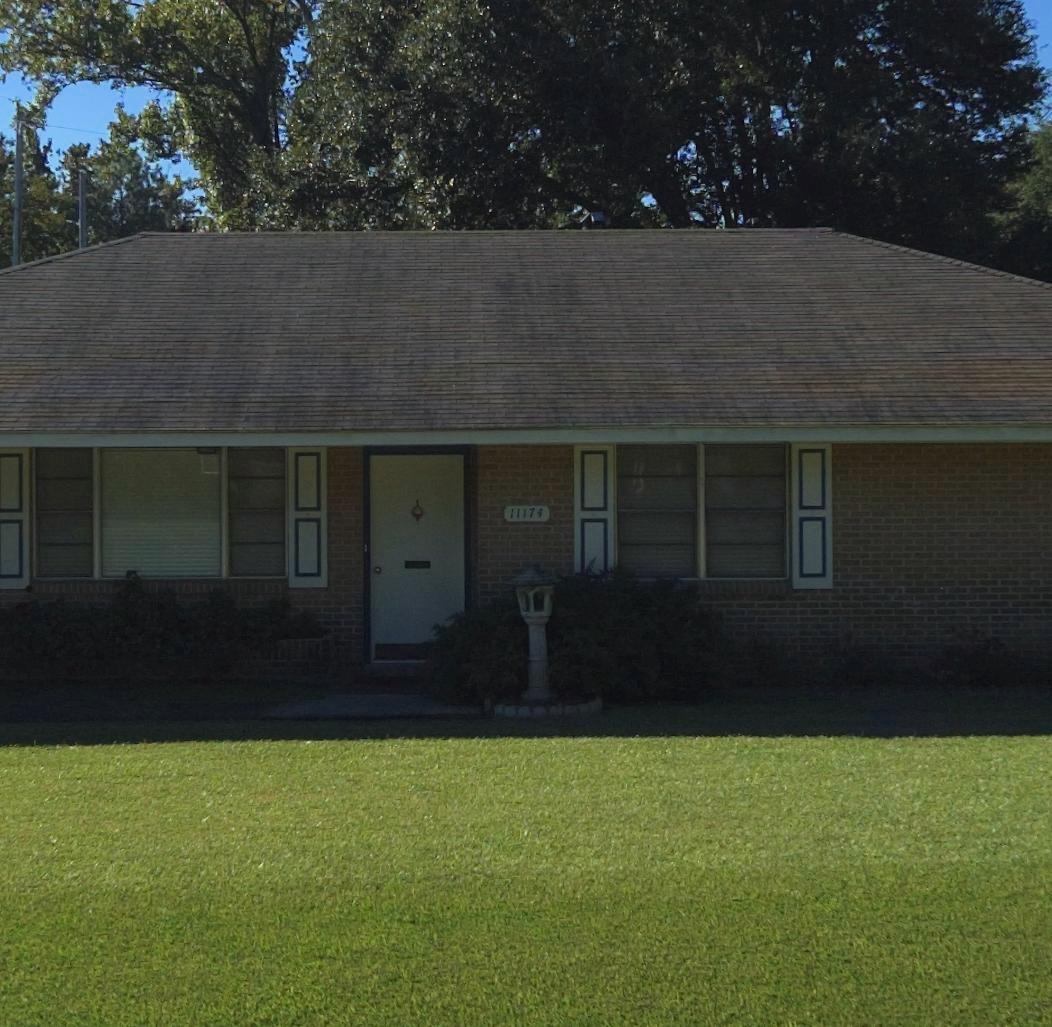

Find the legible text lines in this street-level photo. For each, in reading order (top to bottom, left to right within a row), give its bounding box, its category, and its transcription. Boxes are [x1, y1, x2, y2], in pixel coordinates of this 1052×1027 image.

[508, 505, 546, 521] StreetNumber: 11174